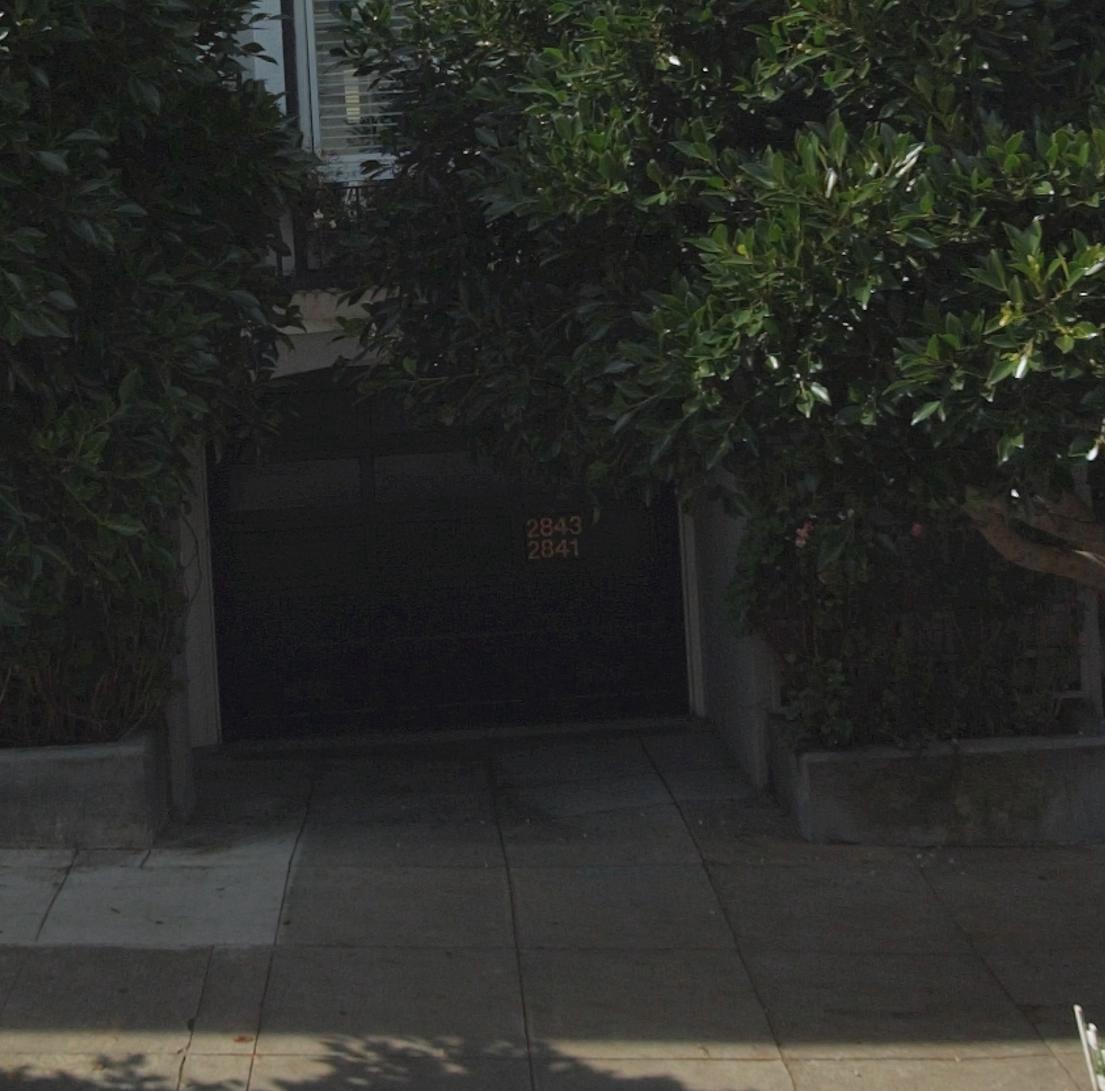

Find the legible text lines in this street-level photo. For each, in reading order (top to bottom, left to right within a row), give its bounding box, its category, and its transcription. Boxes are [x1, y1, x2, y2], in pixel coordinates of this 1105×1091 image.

[524, 514, 584, 540] StreetNumber: 2843
[525, 535, 582, 562] StreetNumber: 2841